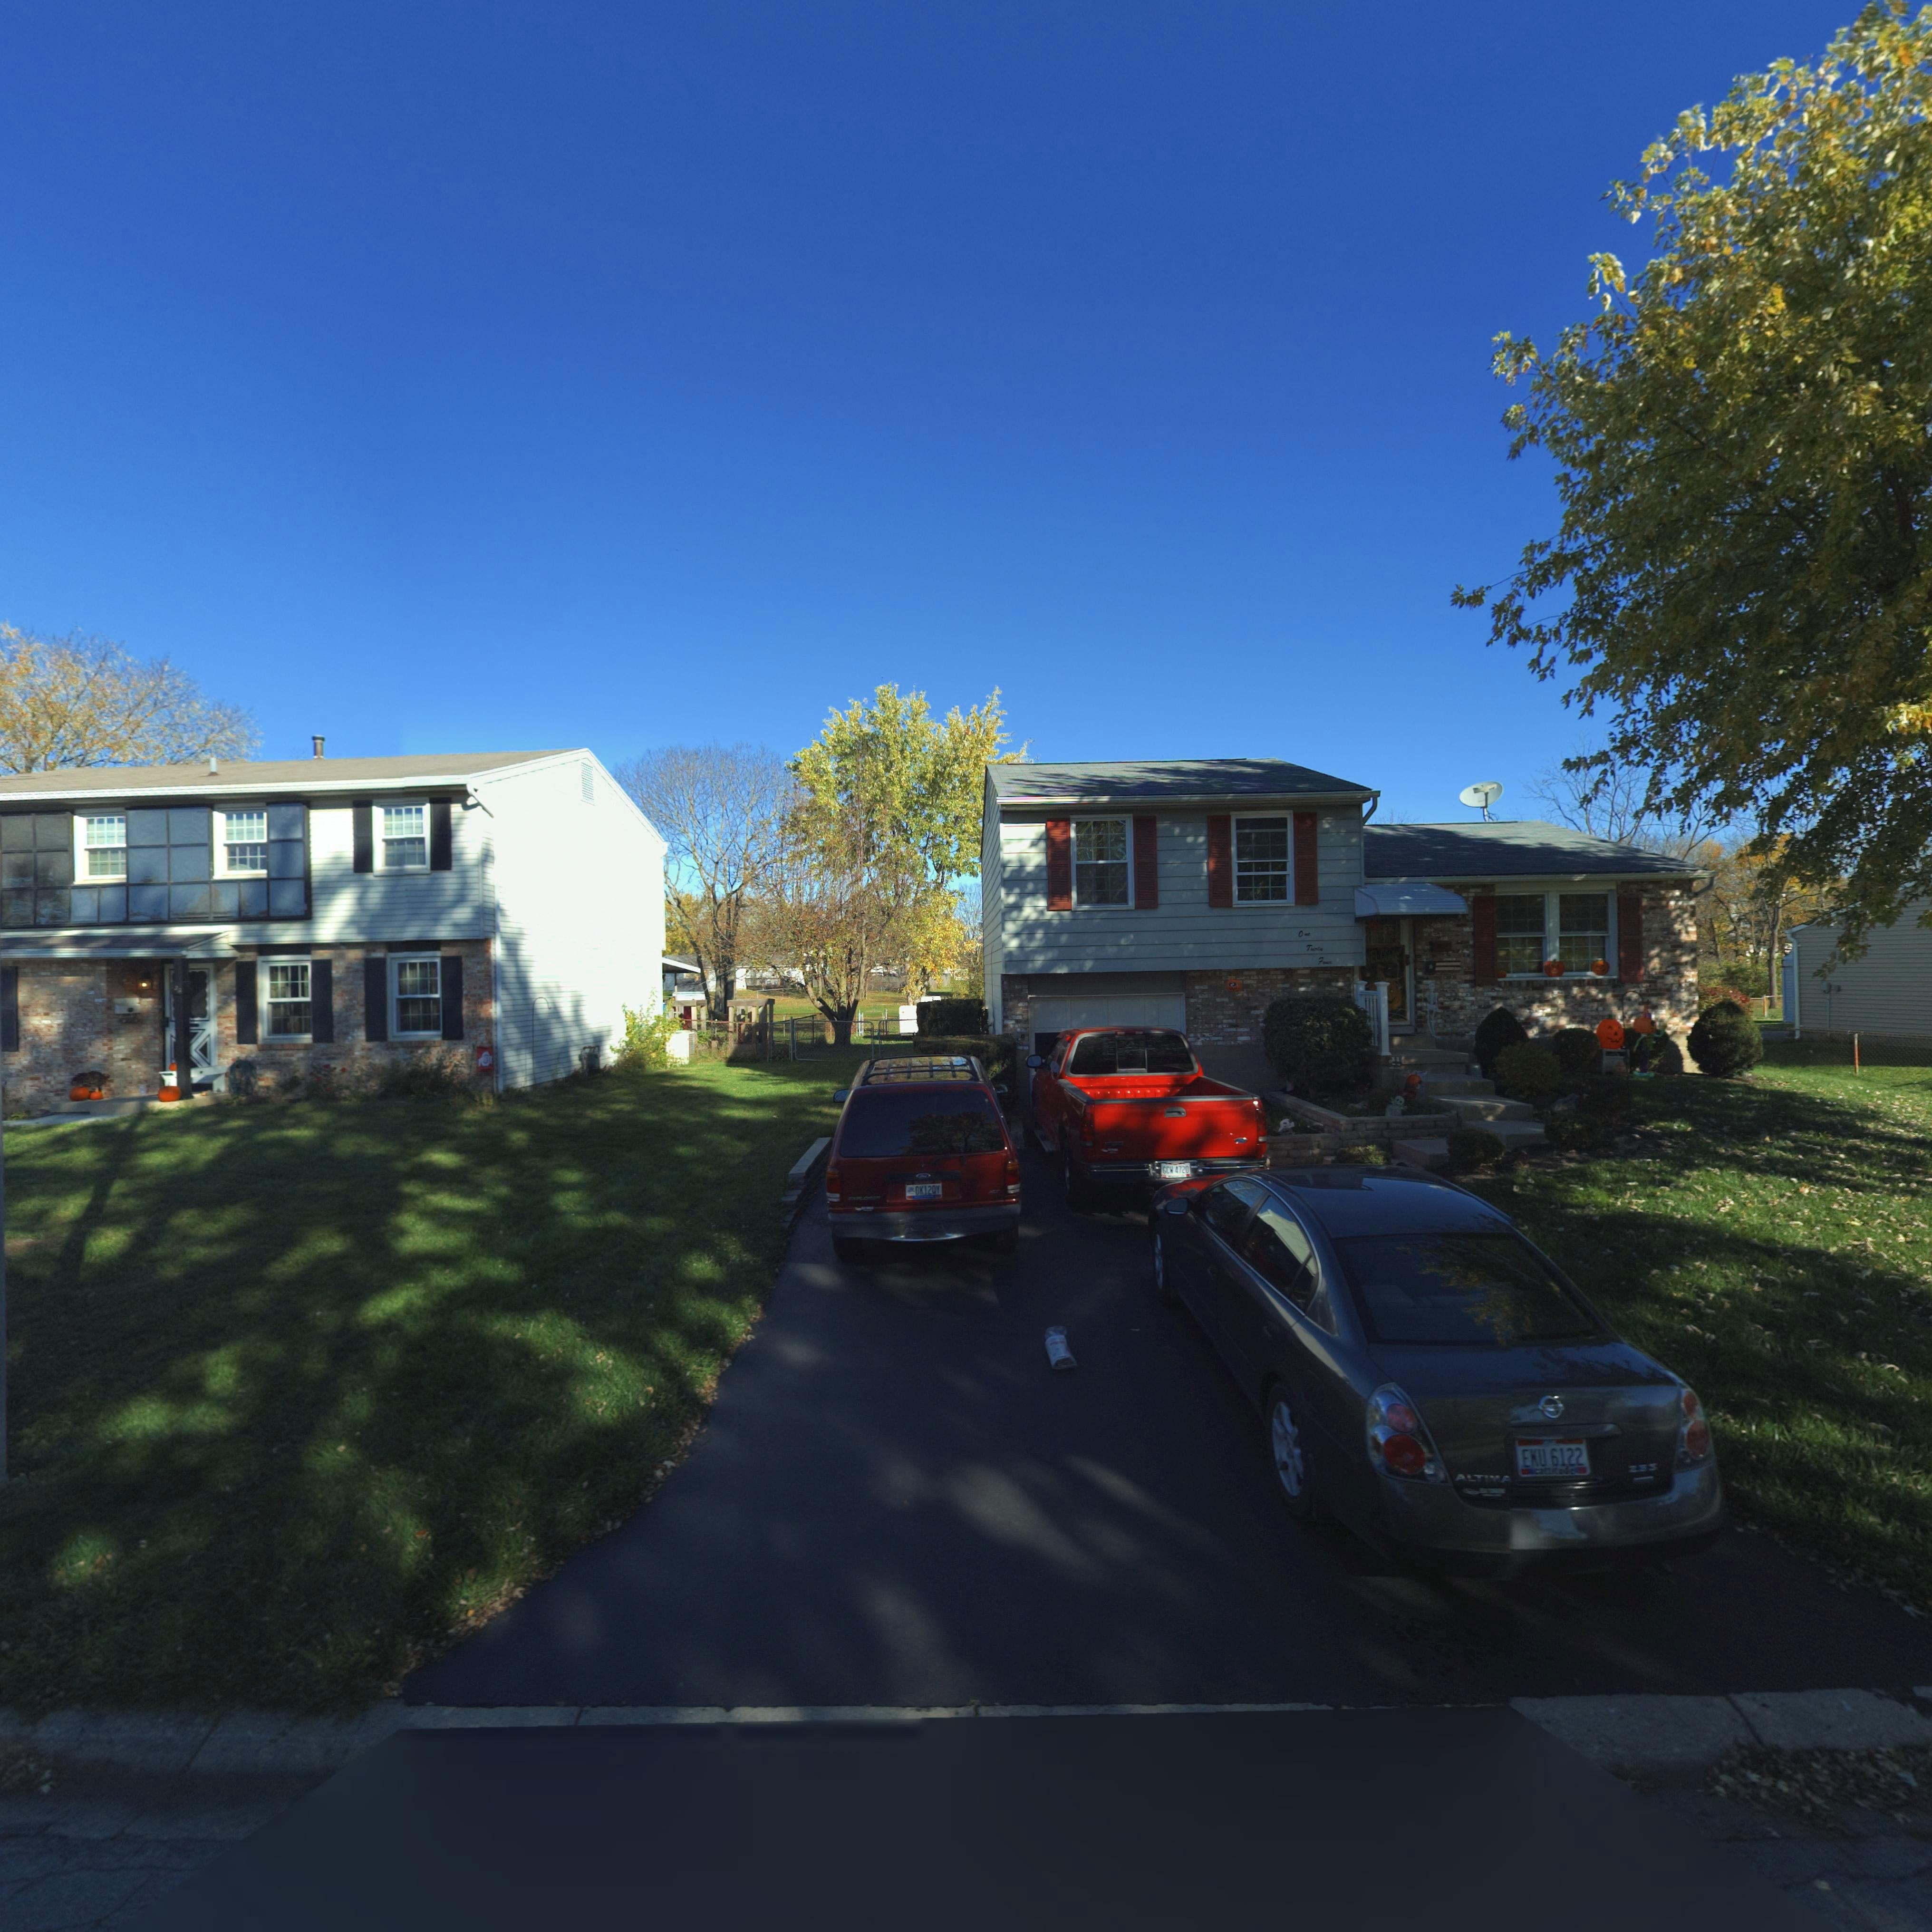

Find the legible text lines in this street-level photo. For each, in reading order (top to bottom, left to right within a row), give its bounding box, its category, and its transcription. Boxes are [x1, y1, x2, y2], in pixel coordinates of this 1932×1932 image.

[1298, 930, 1311, 938] StreetNumber: One
[1306, 944, 1323, 952] StreetNumber: Thirty
[1317, 956, 1333, 966] StreetNumber: Four
[173, 985, 179, 992] StreetNumber: 3